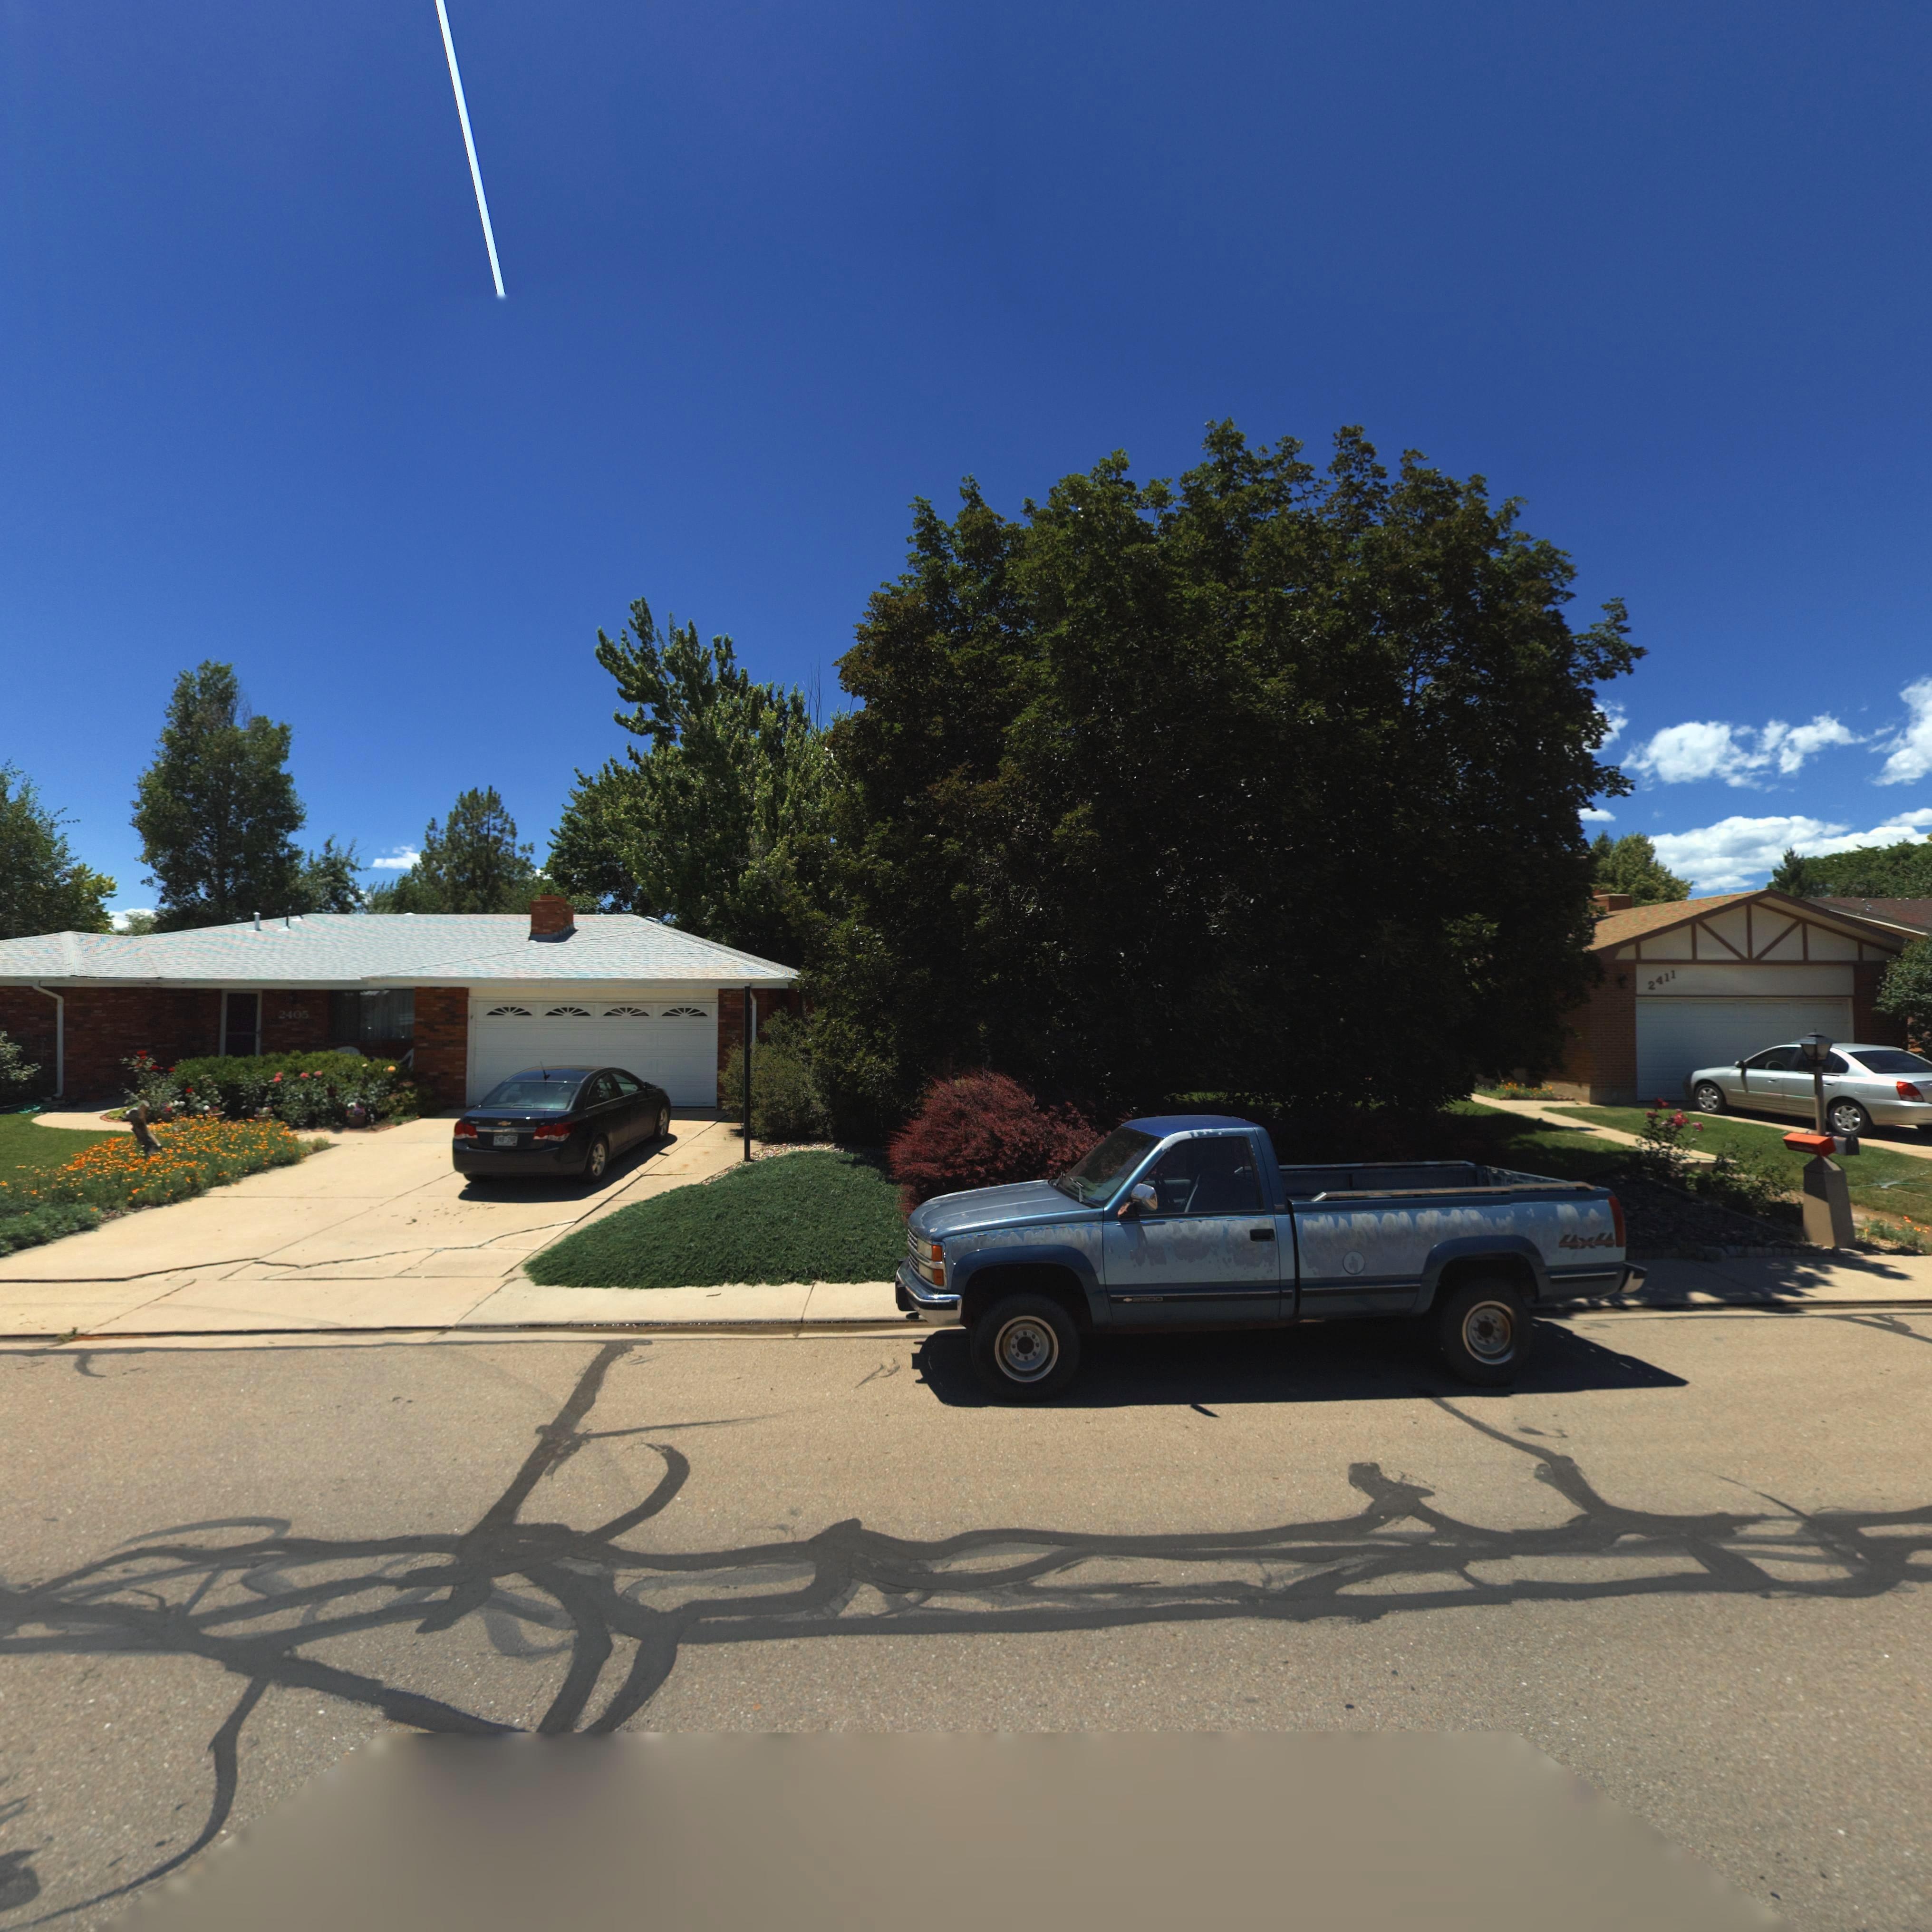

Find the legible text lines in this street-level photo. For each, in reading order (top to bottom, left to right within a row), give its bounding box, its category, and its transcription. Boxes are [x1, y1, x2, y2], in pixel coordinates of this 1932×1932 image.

[1647, 968, 1676, 990] StreetNumber: 2411
[279, 1010, 309, 1019] StreetNumber: 2405